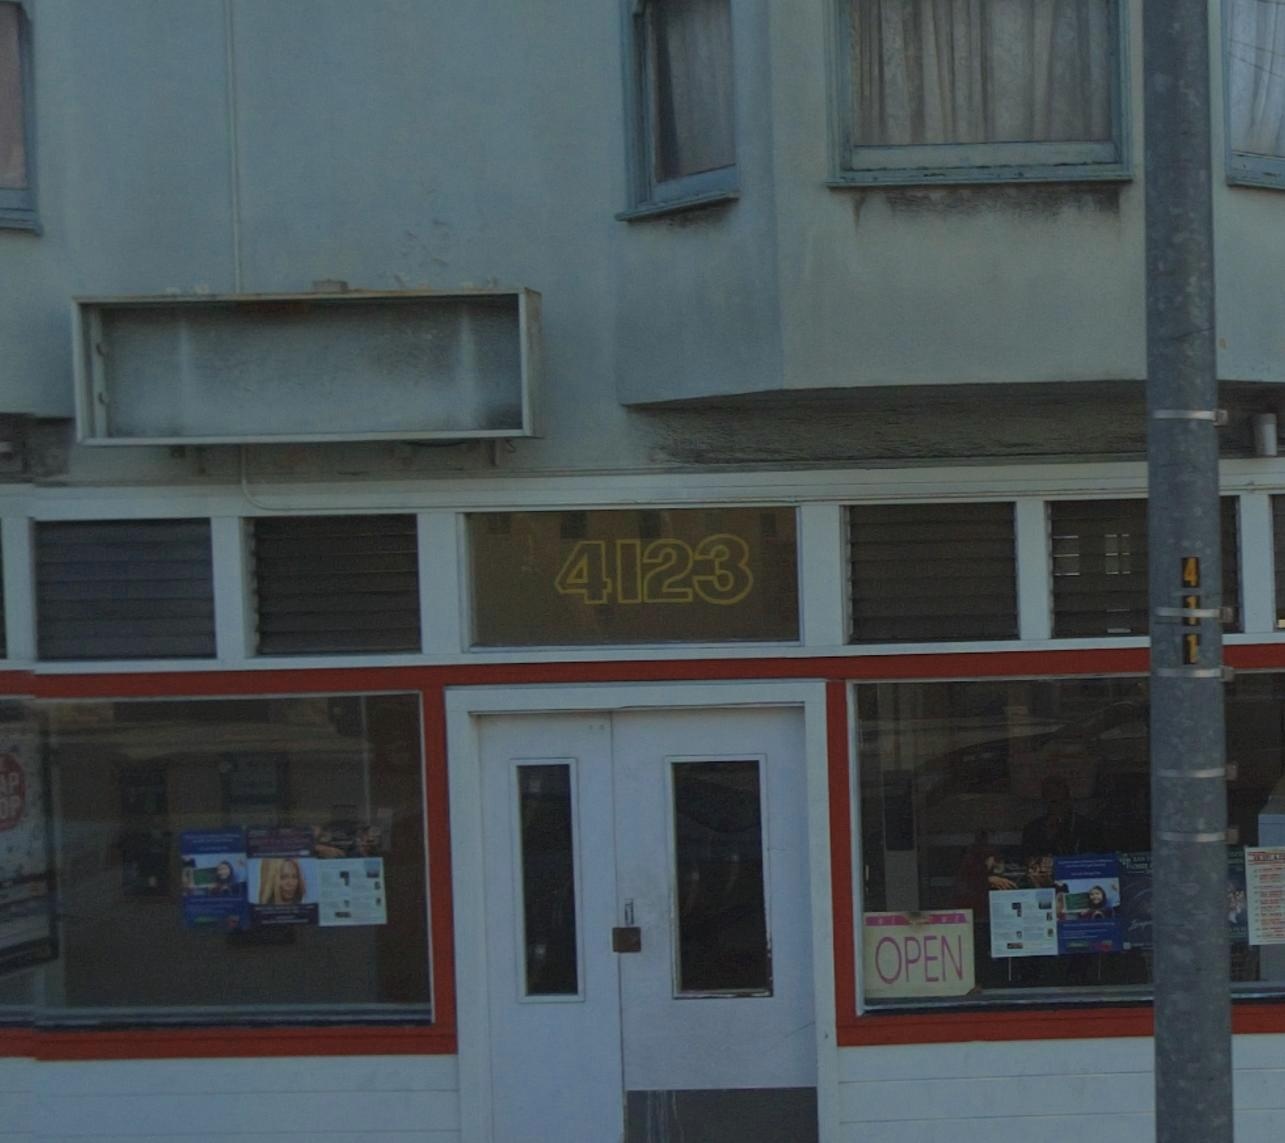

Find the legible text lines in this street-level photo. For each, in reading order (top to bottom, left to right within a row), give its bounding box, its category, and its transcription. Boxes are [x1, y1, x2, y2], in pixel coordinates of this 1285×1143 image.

[554, 531, 753, 603] StreetNumber: 4123
[1179, 553, 1203, 666] None: 4*1
[872, 929, 967, 989] None: OPEN